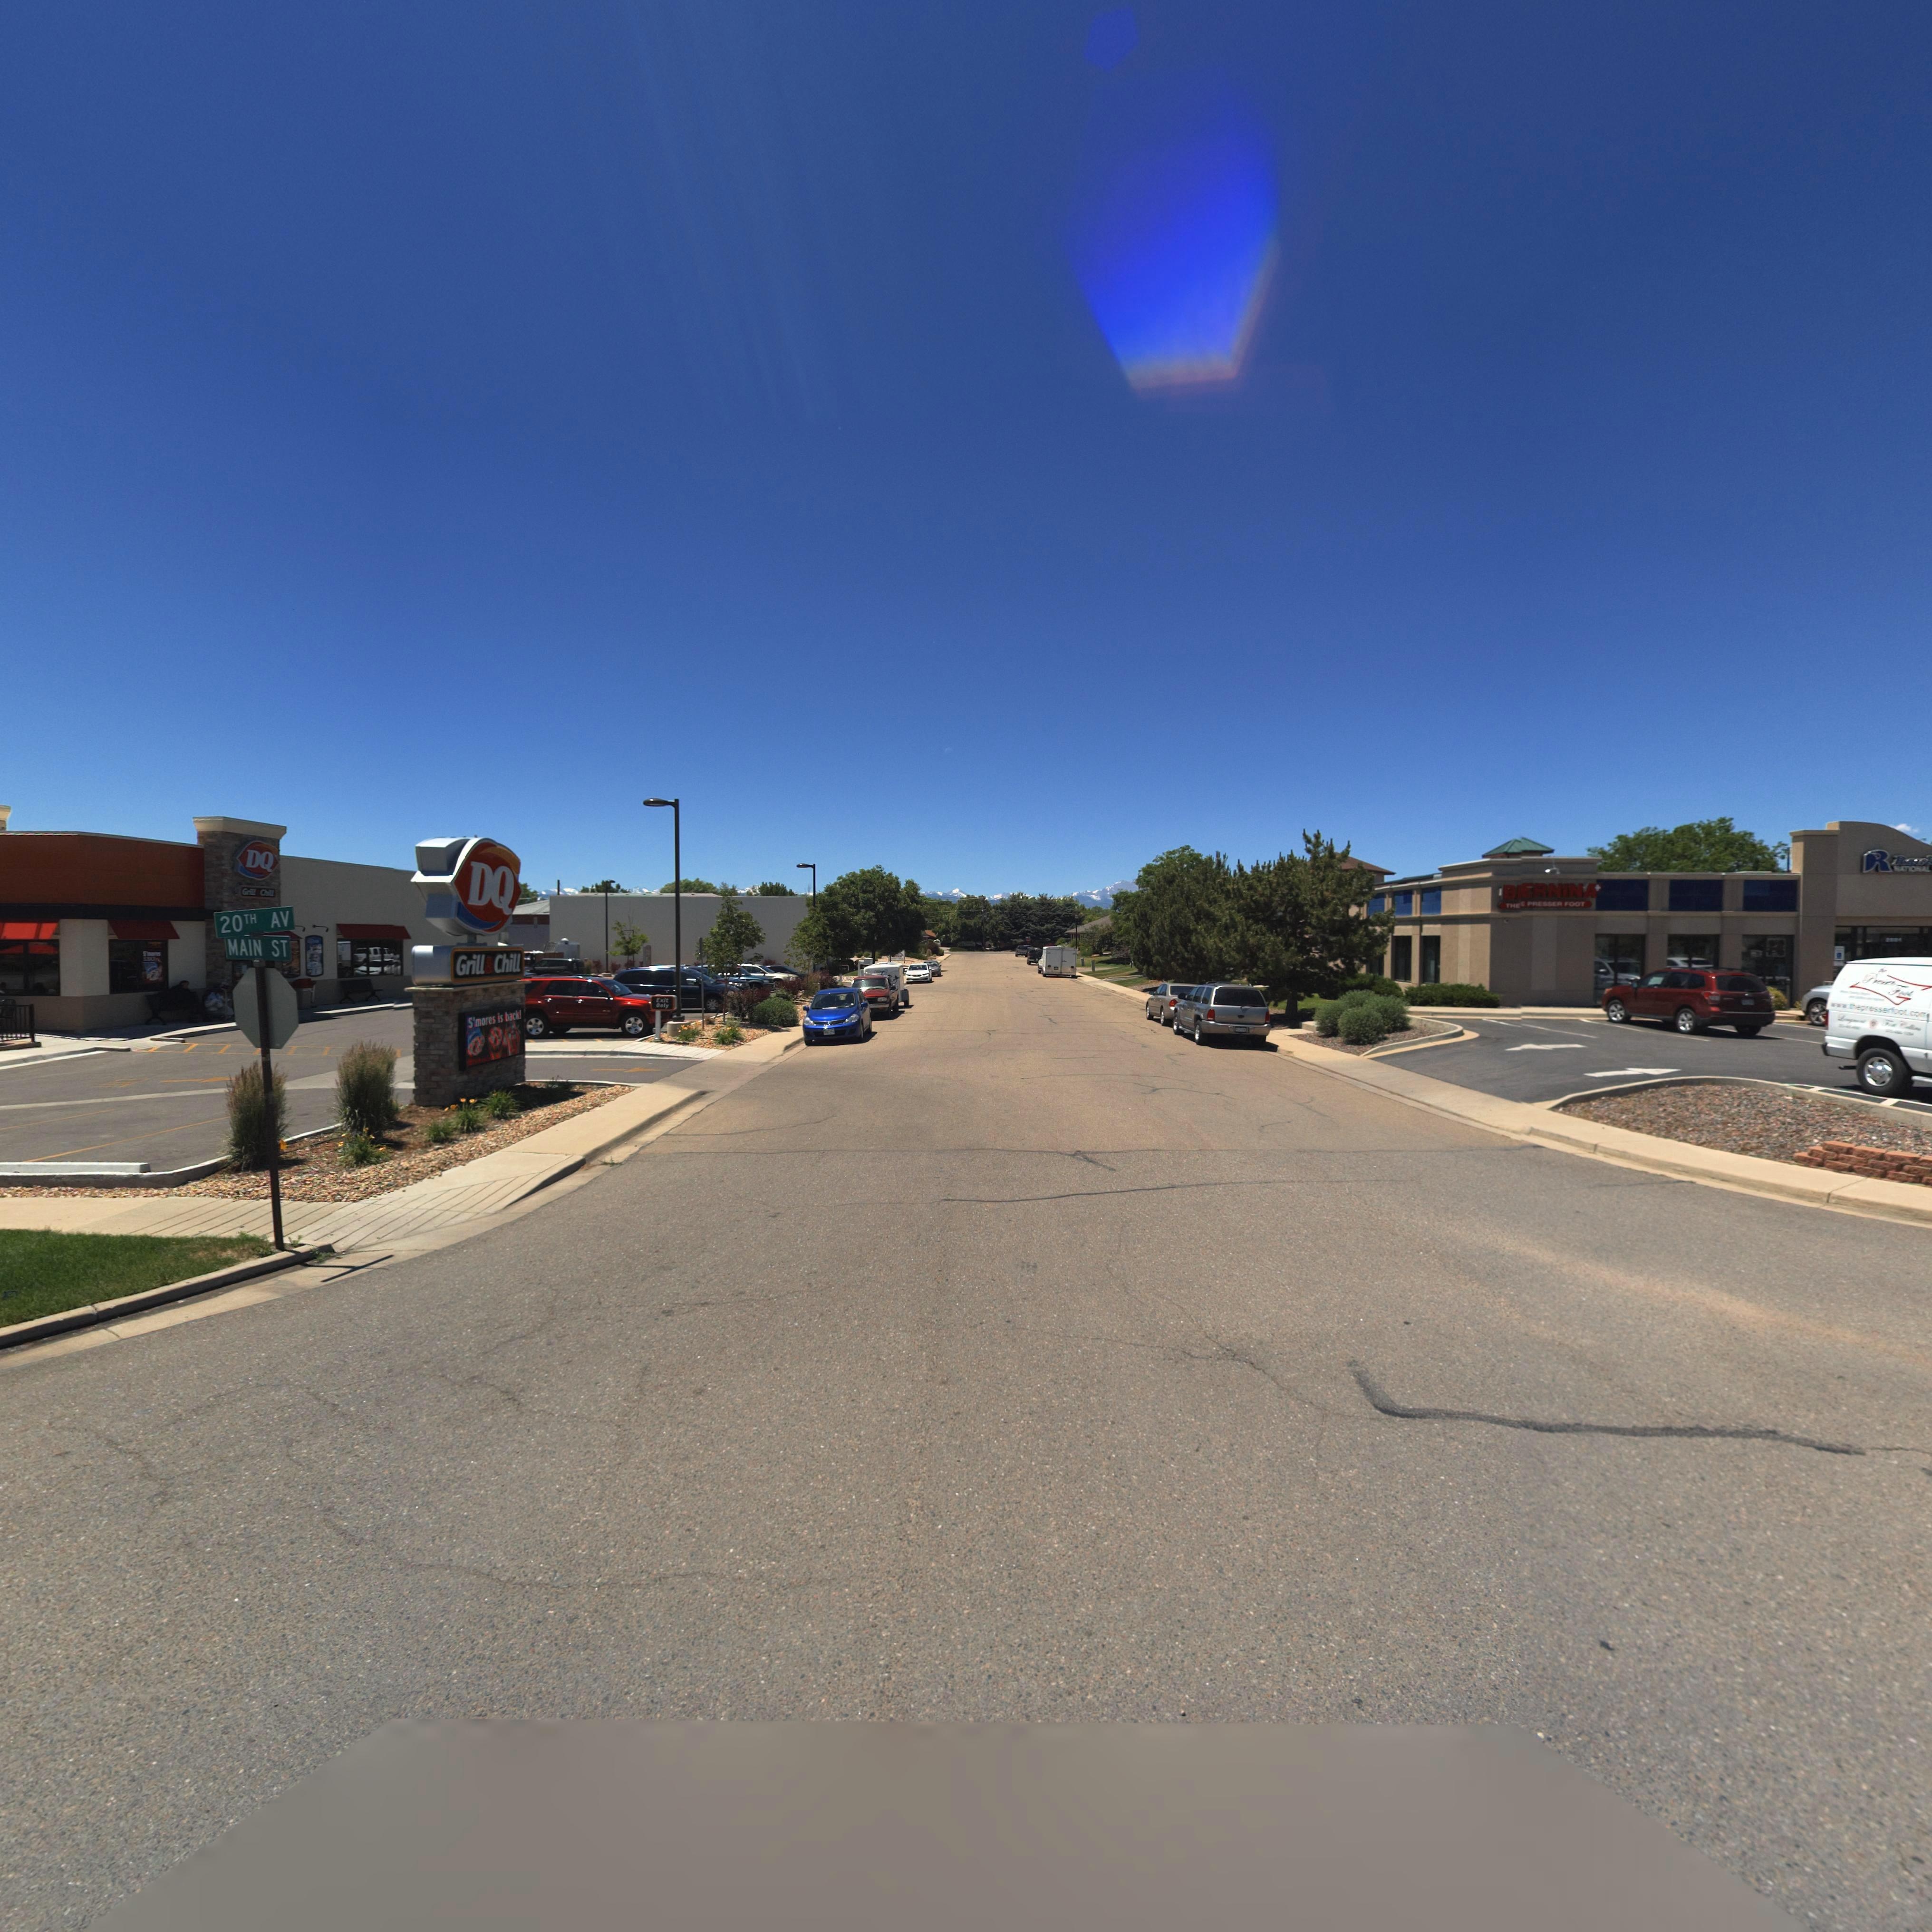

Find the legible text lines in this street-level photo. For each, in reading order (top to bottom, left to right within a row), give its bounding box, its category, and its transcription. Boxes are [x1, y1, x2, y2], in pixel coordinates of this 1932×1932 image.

[245, 849, 274, 873] BusinessName: DQ
[241, 887, 275, 896] BusinessName: Grill&Chill
[466, 860, 517, 916] BusinessName: DQ
[1501, 881, 1599, 900] BusinessName: B*ERNINA
[219, 909, 290, 935] StreetName: 20TH AV
[227, 937, 288, 957] StreetName: MAIN ST
[455, 952, 522, 976] BusinessName: Grill&Chill